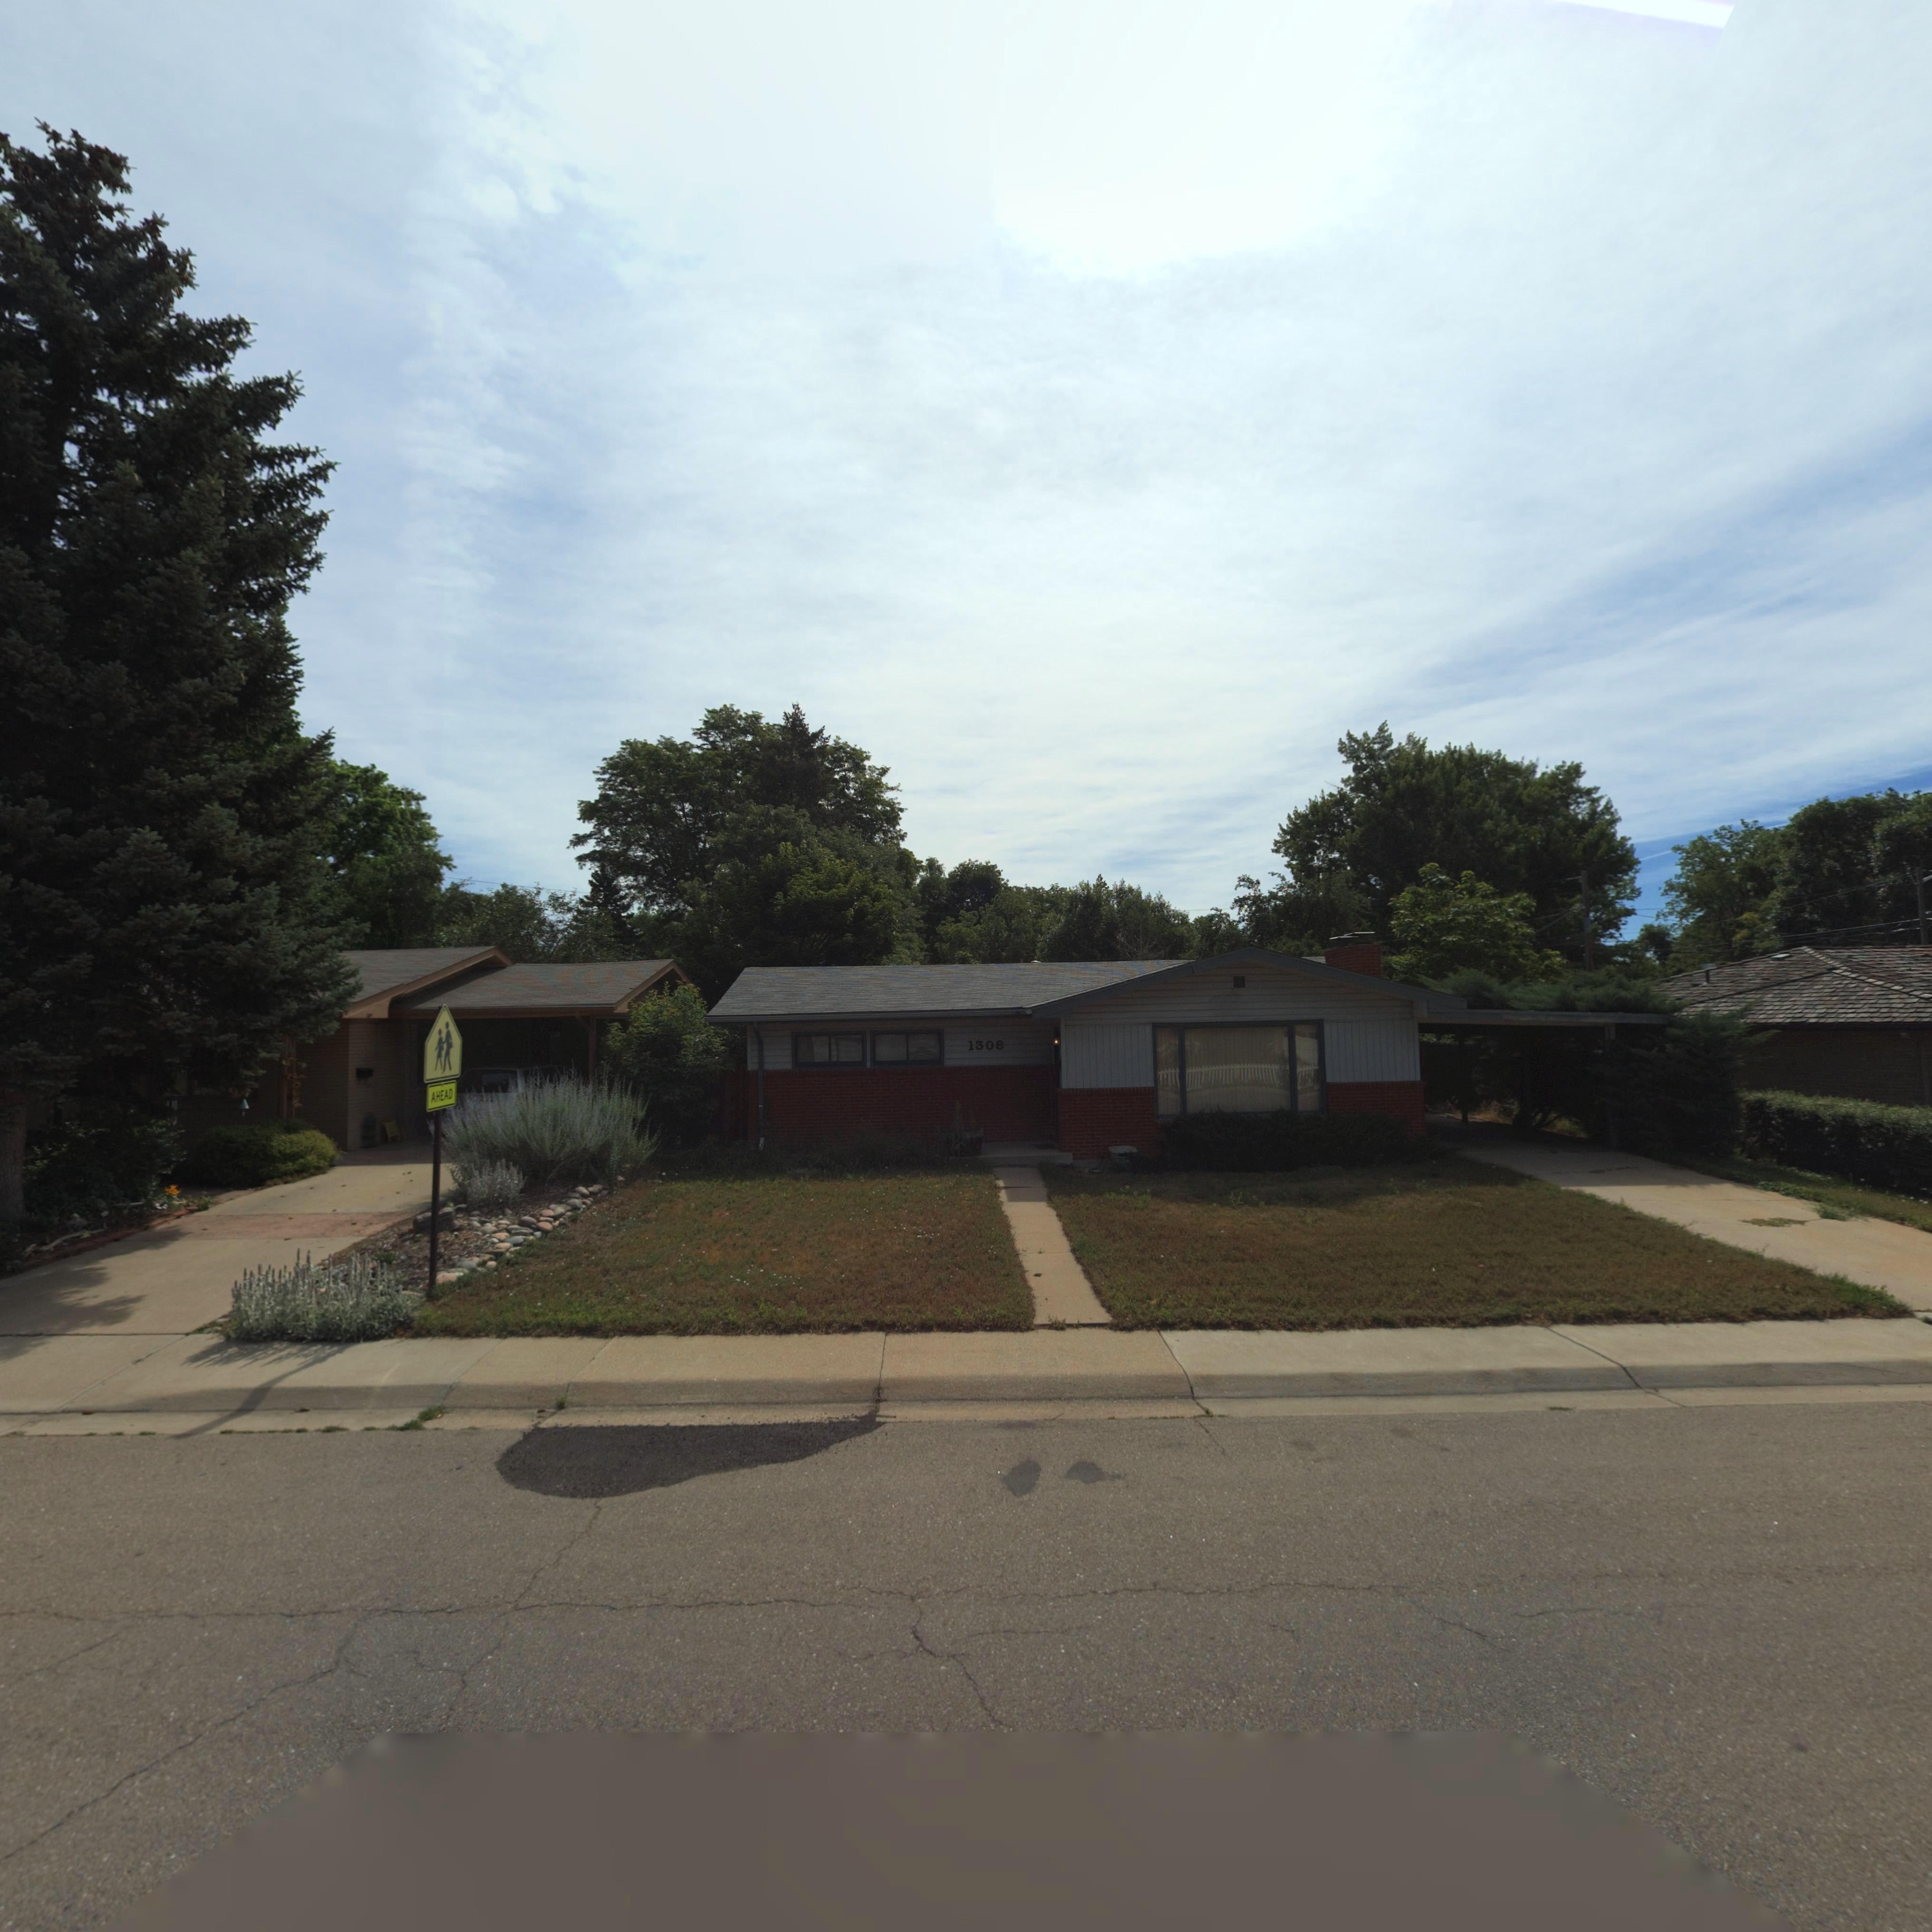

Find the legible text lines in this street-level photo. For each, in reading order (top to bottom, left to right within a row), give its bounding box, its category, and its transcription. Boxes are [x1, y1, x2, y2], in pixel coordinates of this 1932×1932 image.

[968, 1040, 1003, 1051] StreetNumber: 1308